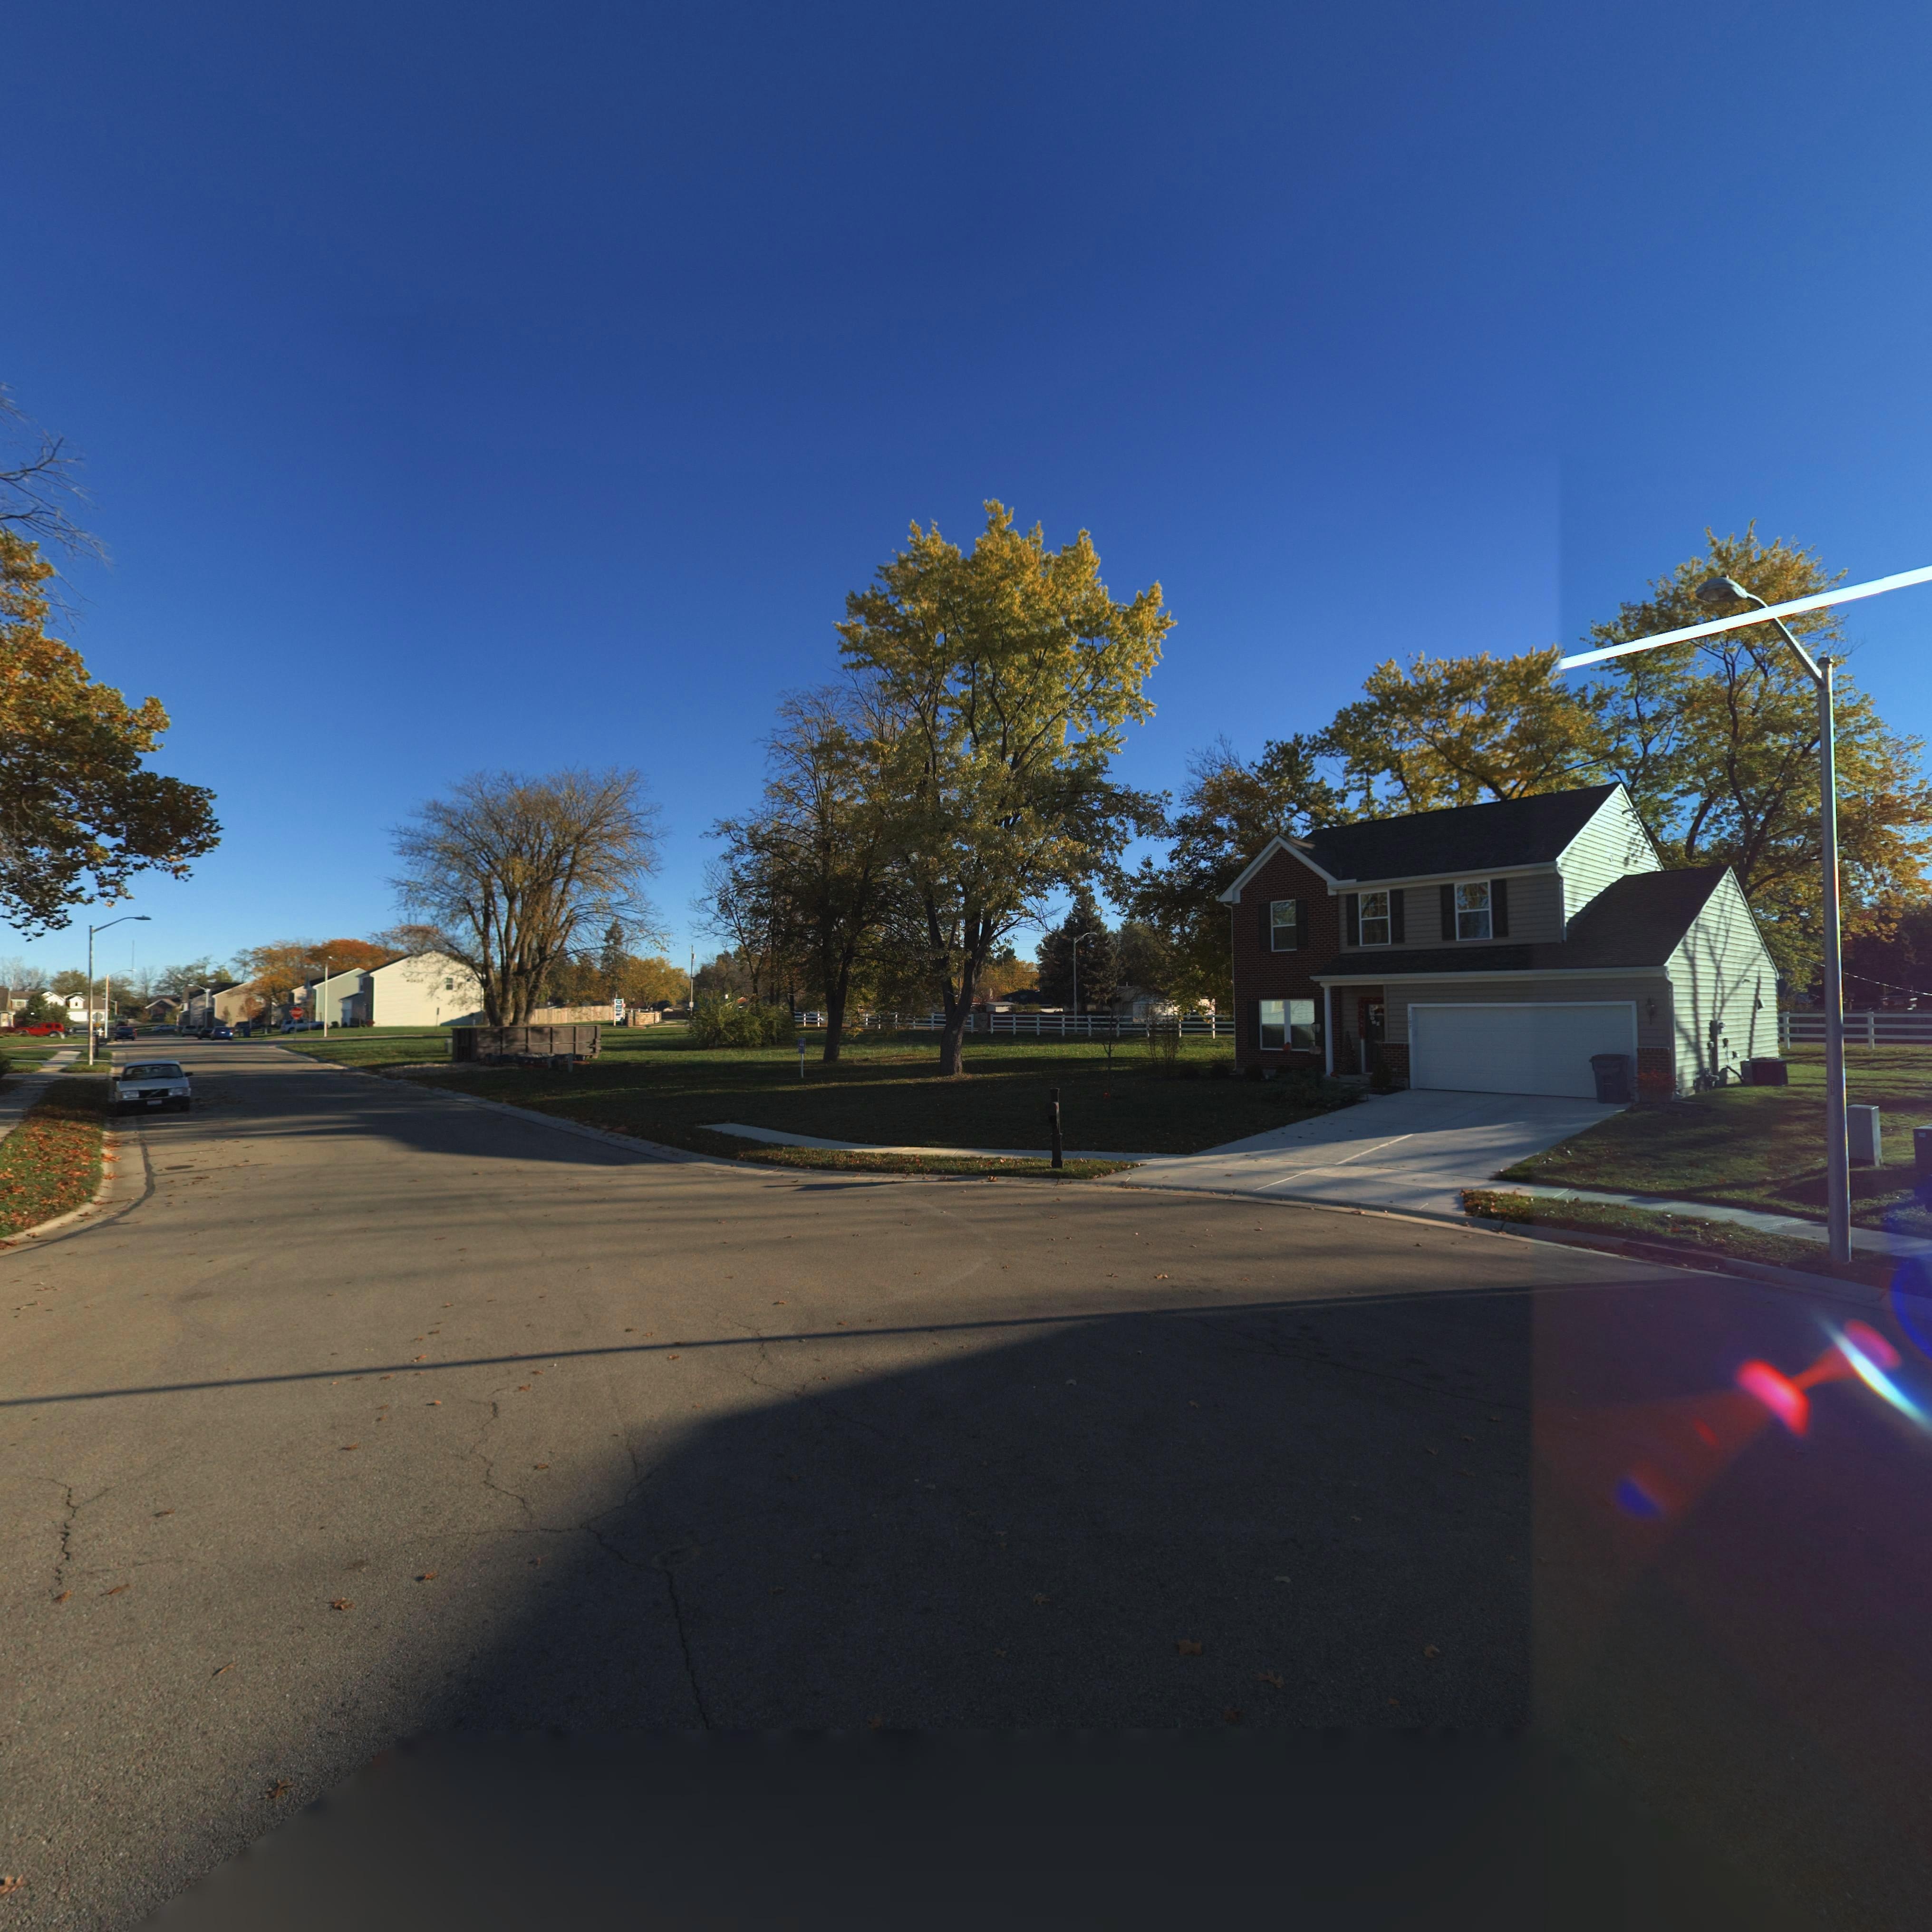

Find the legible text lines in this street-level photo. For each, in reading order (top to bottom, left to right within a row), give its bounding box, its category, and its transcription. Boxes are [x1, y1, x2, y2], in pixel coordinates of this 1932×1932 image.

[1408, 1010, 1412, 1029] StreetNumber: 1107